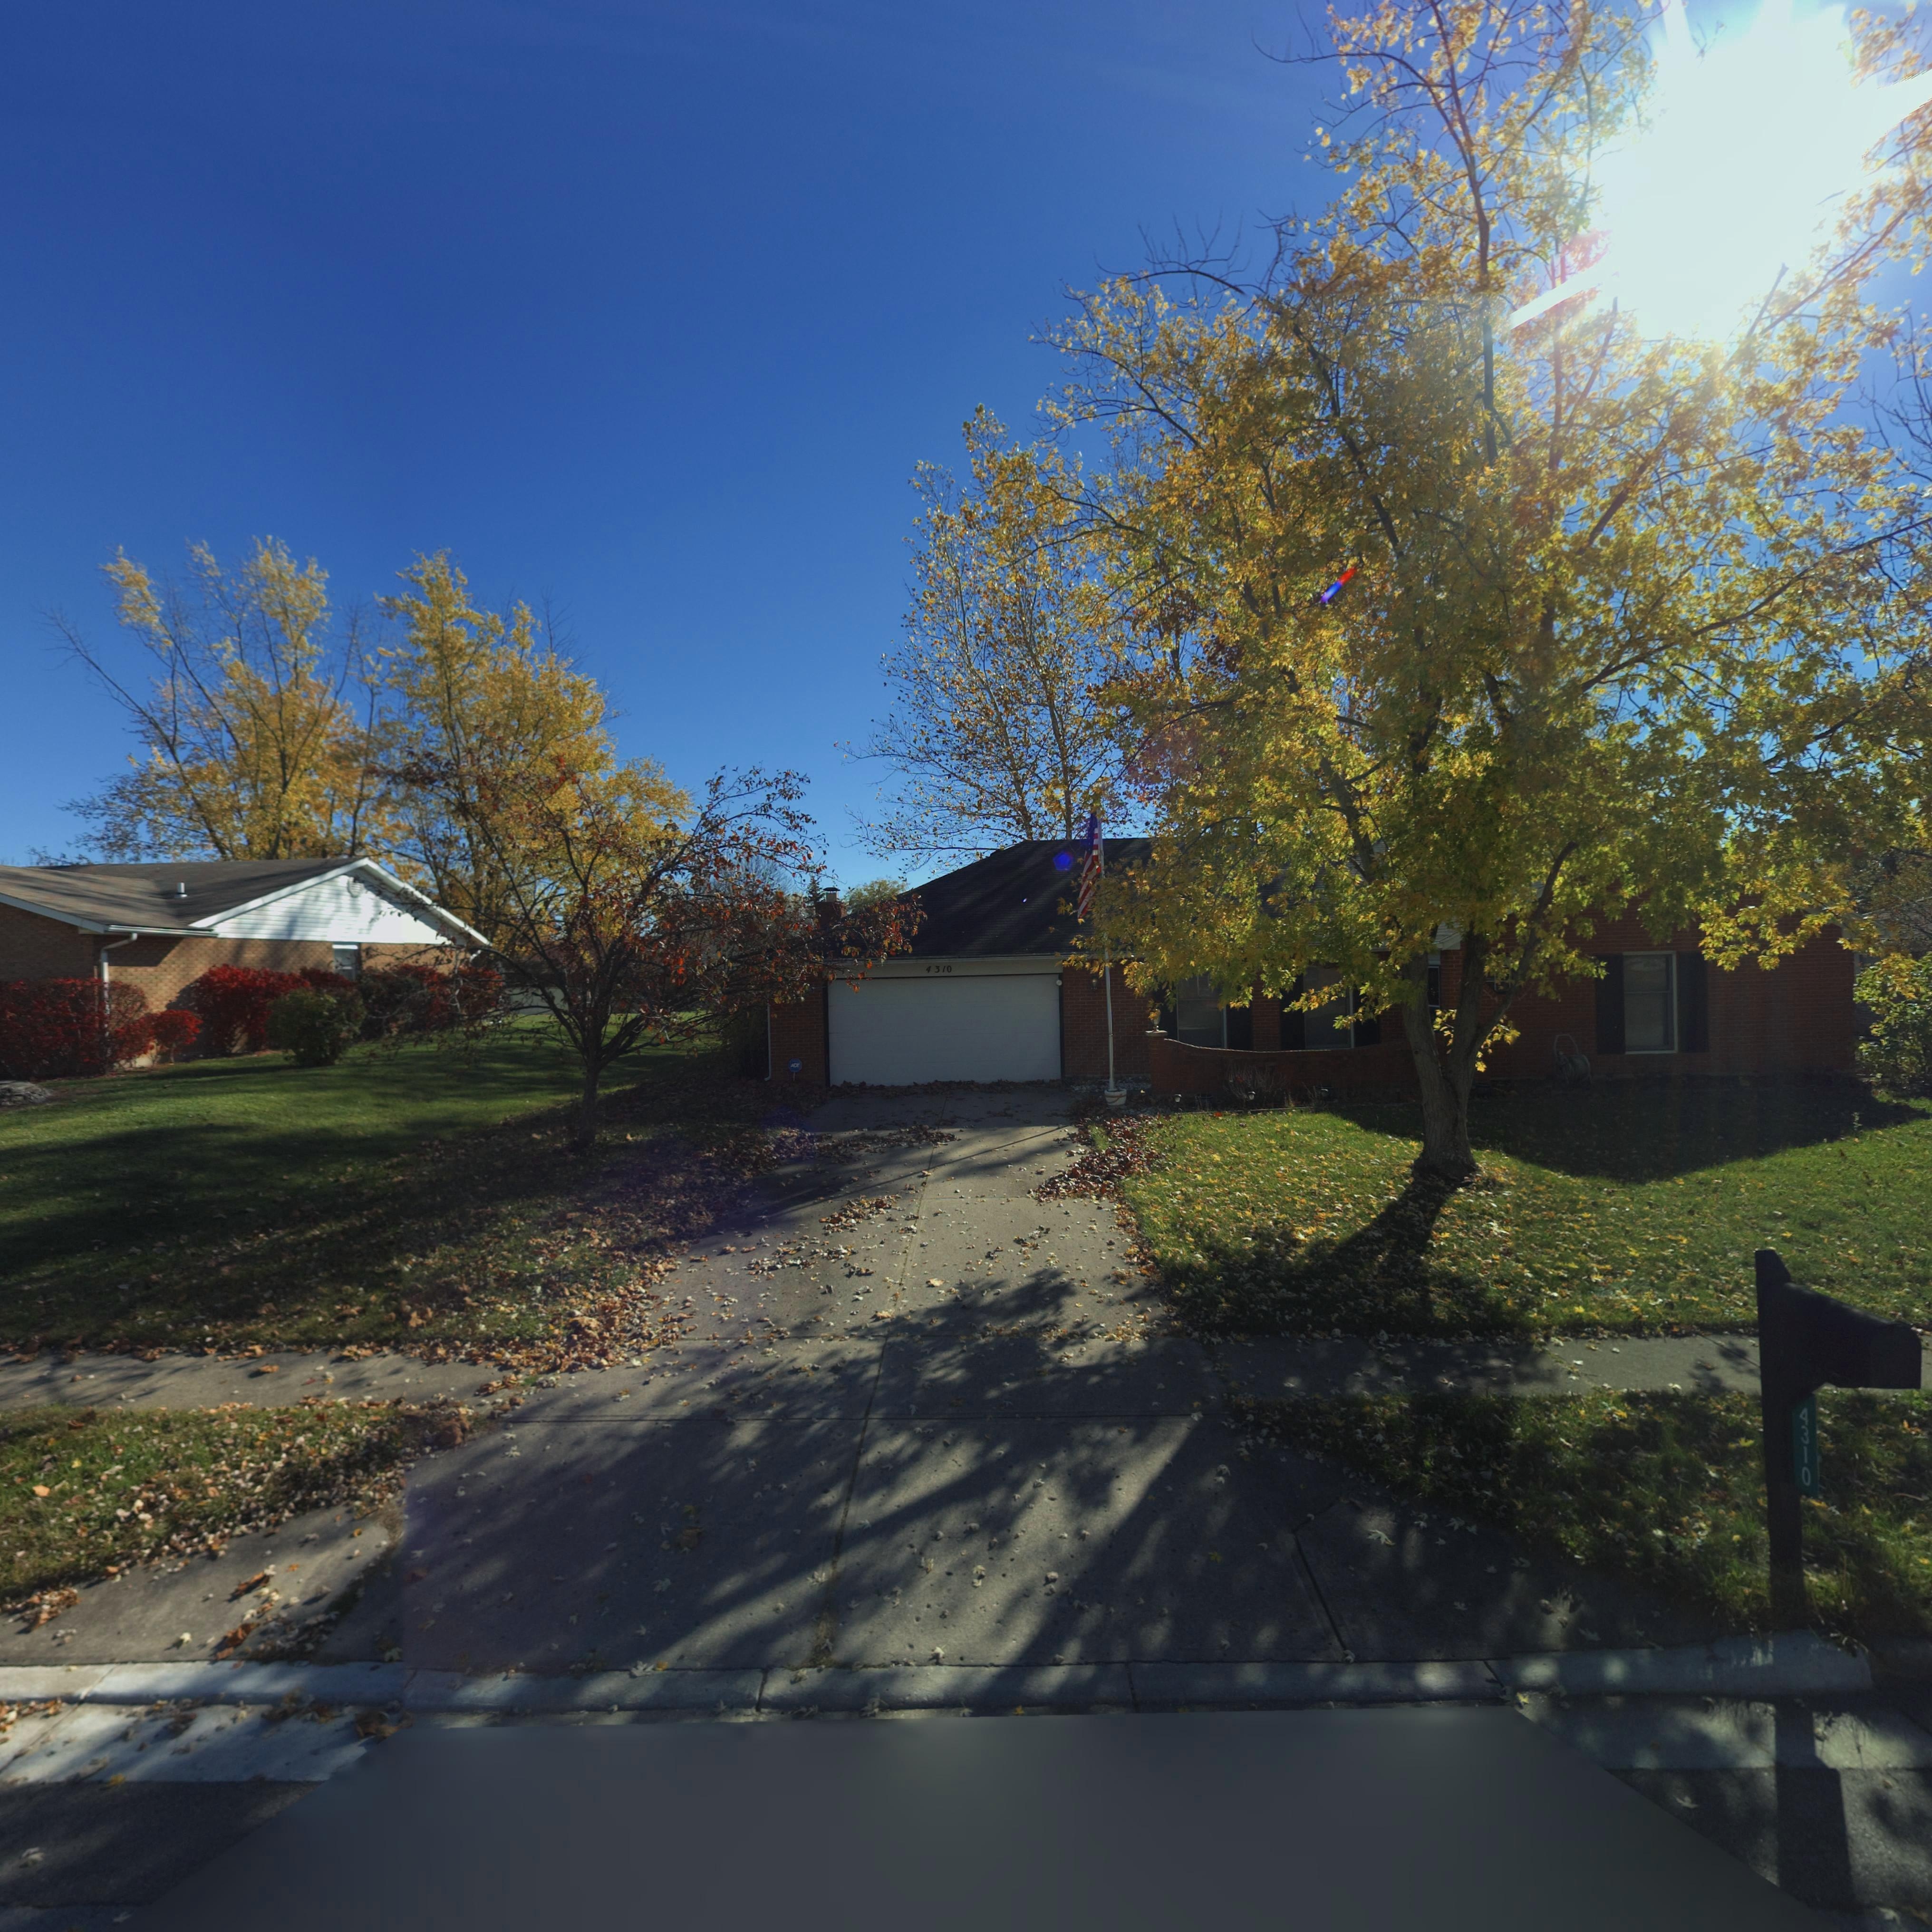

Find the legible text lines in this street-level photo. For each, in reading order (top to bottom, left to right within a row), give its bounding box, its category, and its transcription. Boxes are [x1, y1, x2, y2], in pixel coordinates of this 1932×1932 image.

[925, 965, 952, 973] StreetNumber: 4310
[1798, 1406, 1812, 1488] StreetNumber: 4310